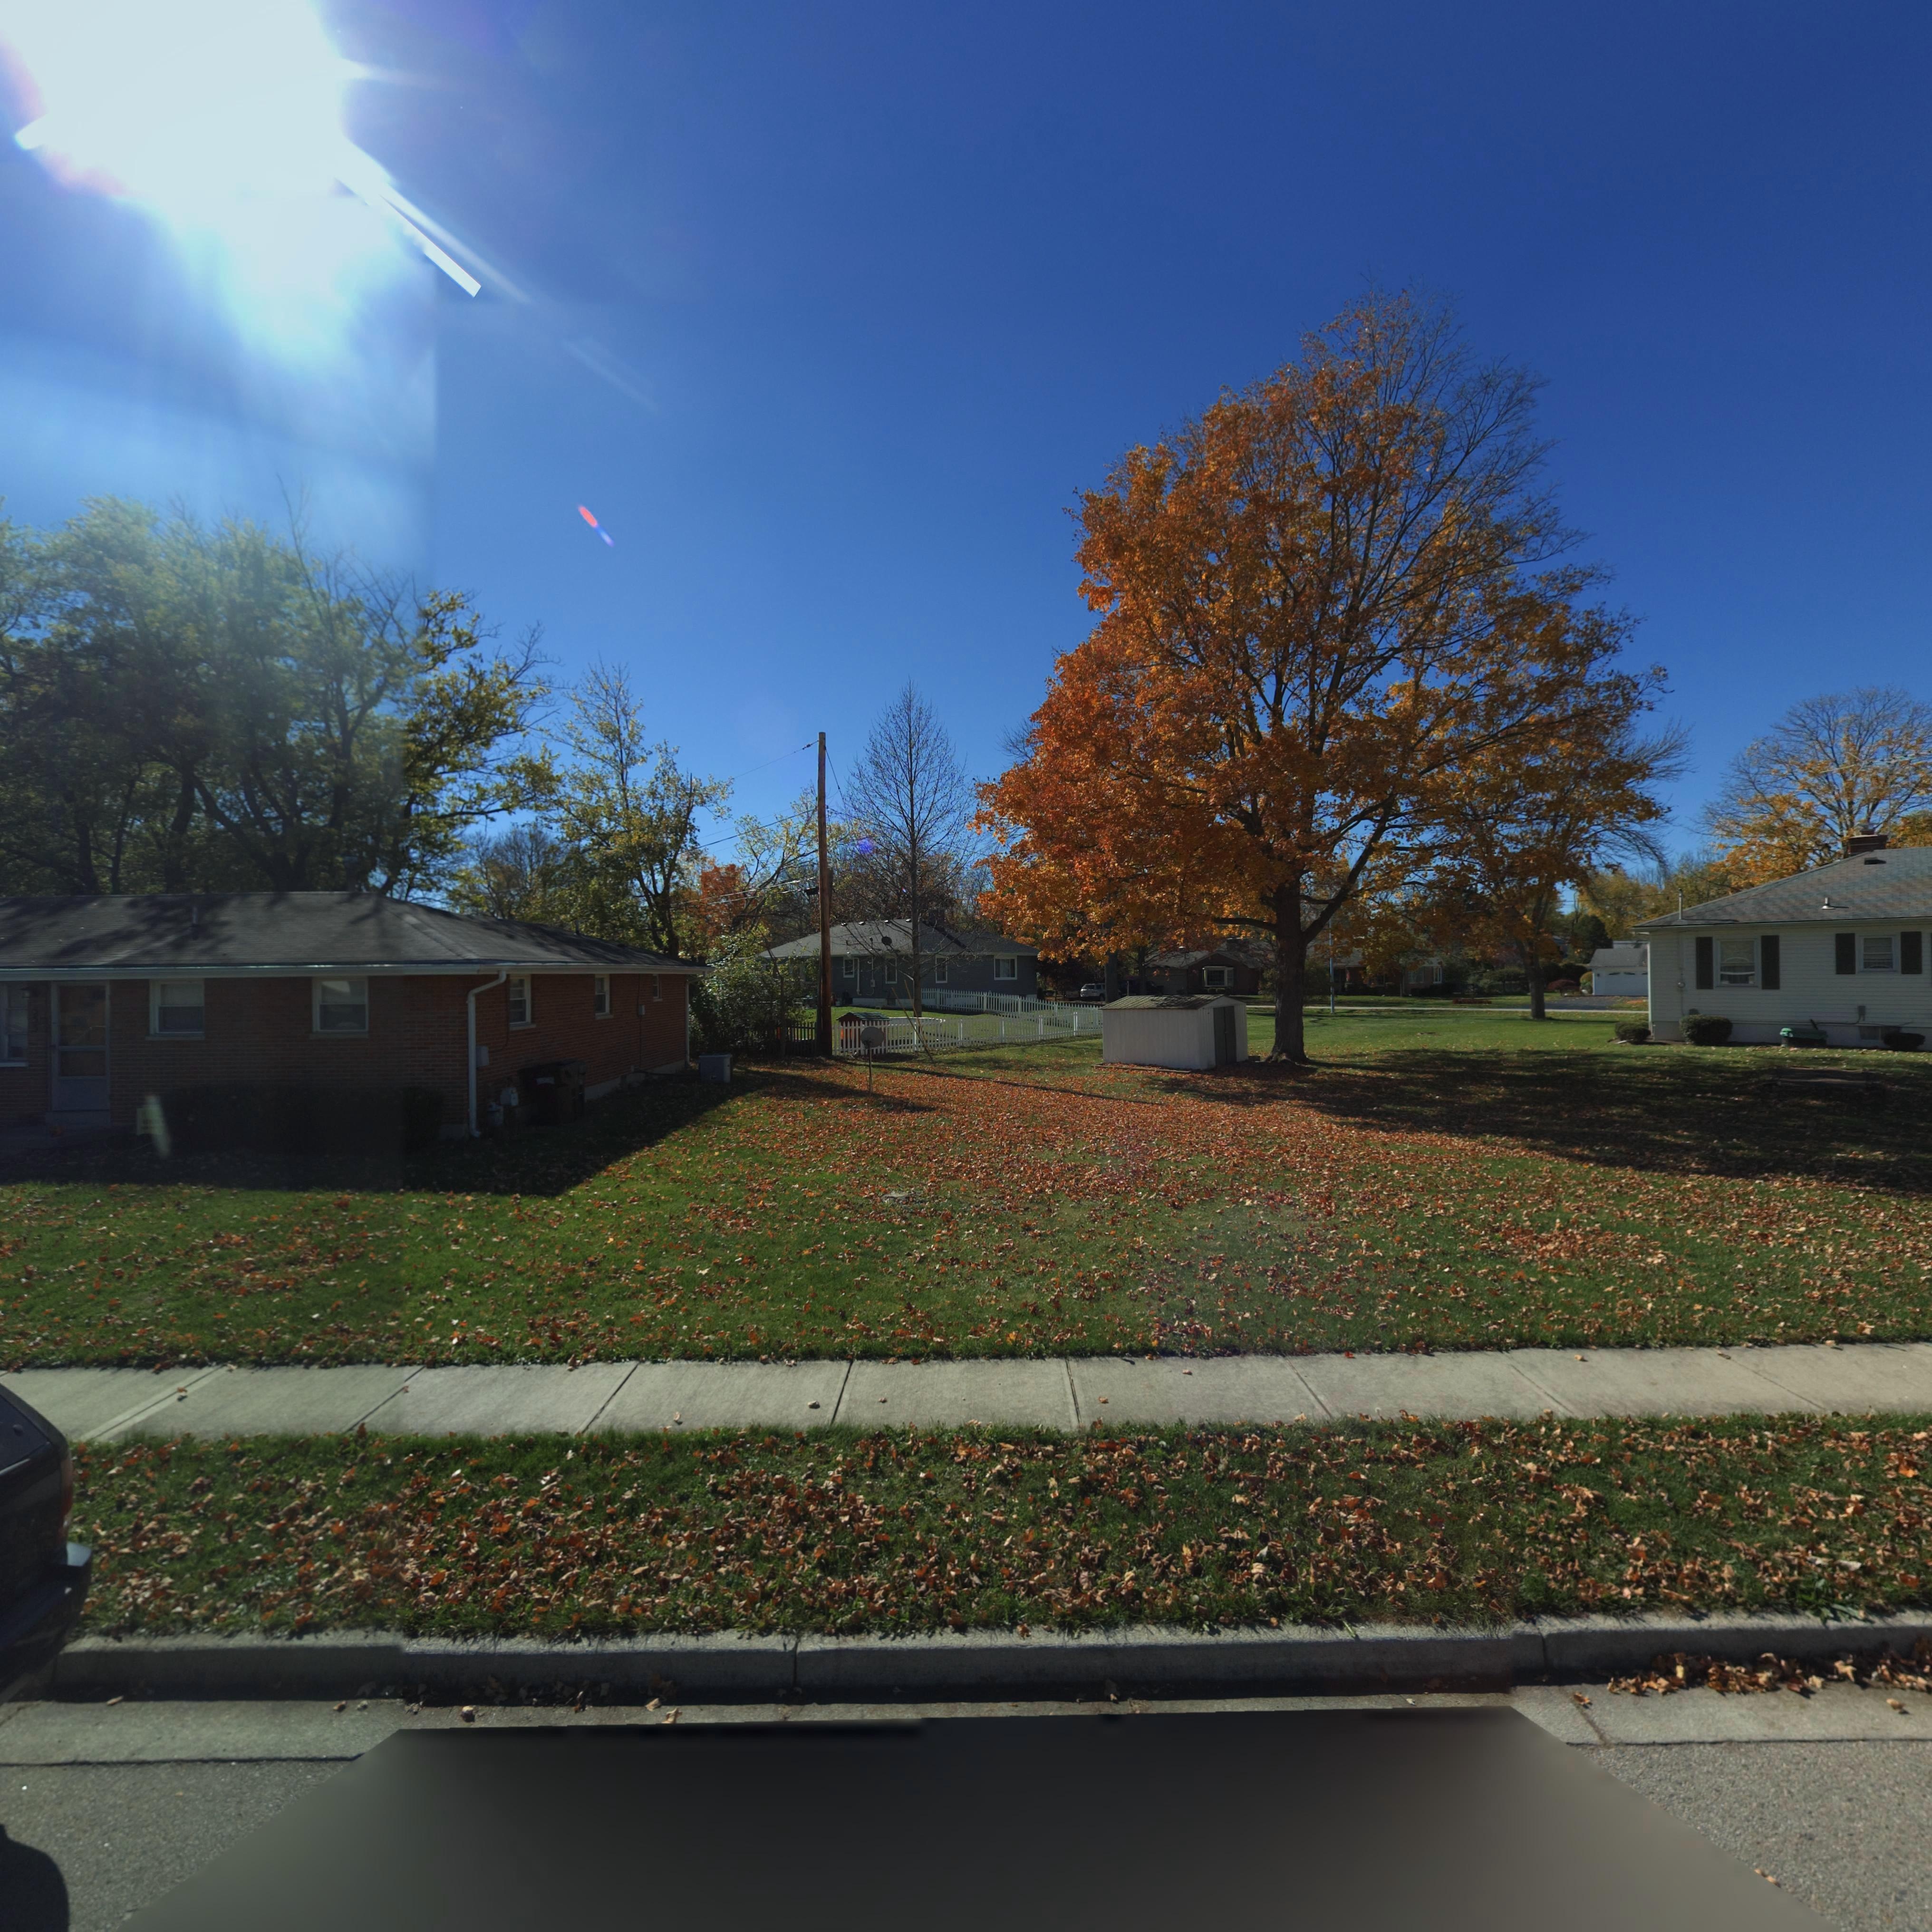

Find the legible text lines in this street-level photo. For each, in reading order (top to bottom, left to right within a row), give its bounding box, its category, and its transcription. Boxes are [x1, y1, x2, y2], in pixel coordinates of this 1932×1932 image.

[31, 1005, 38, 1033] StreetNumber: 555